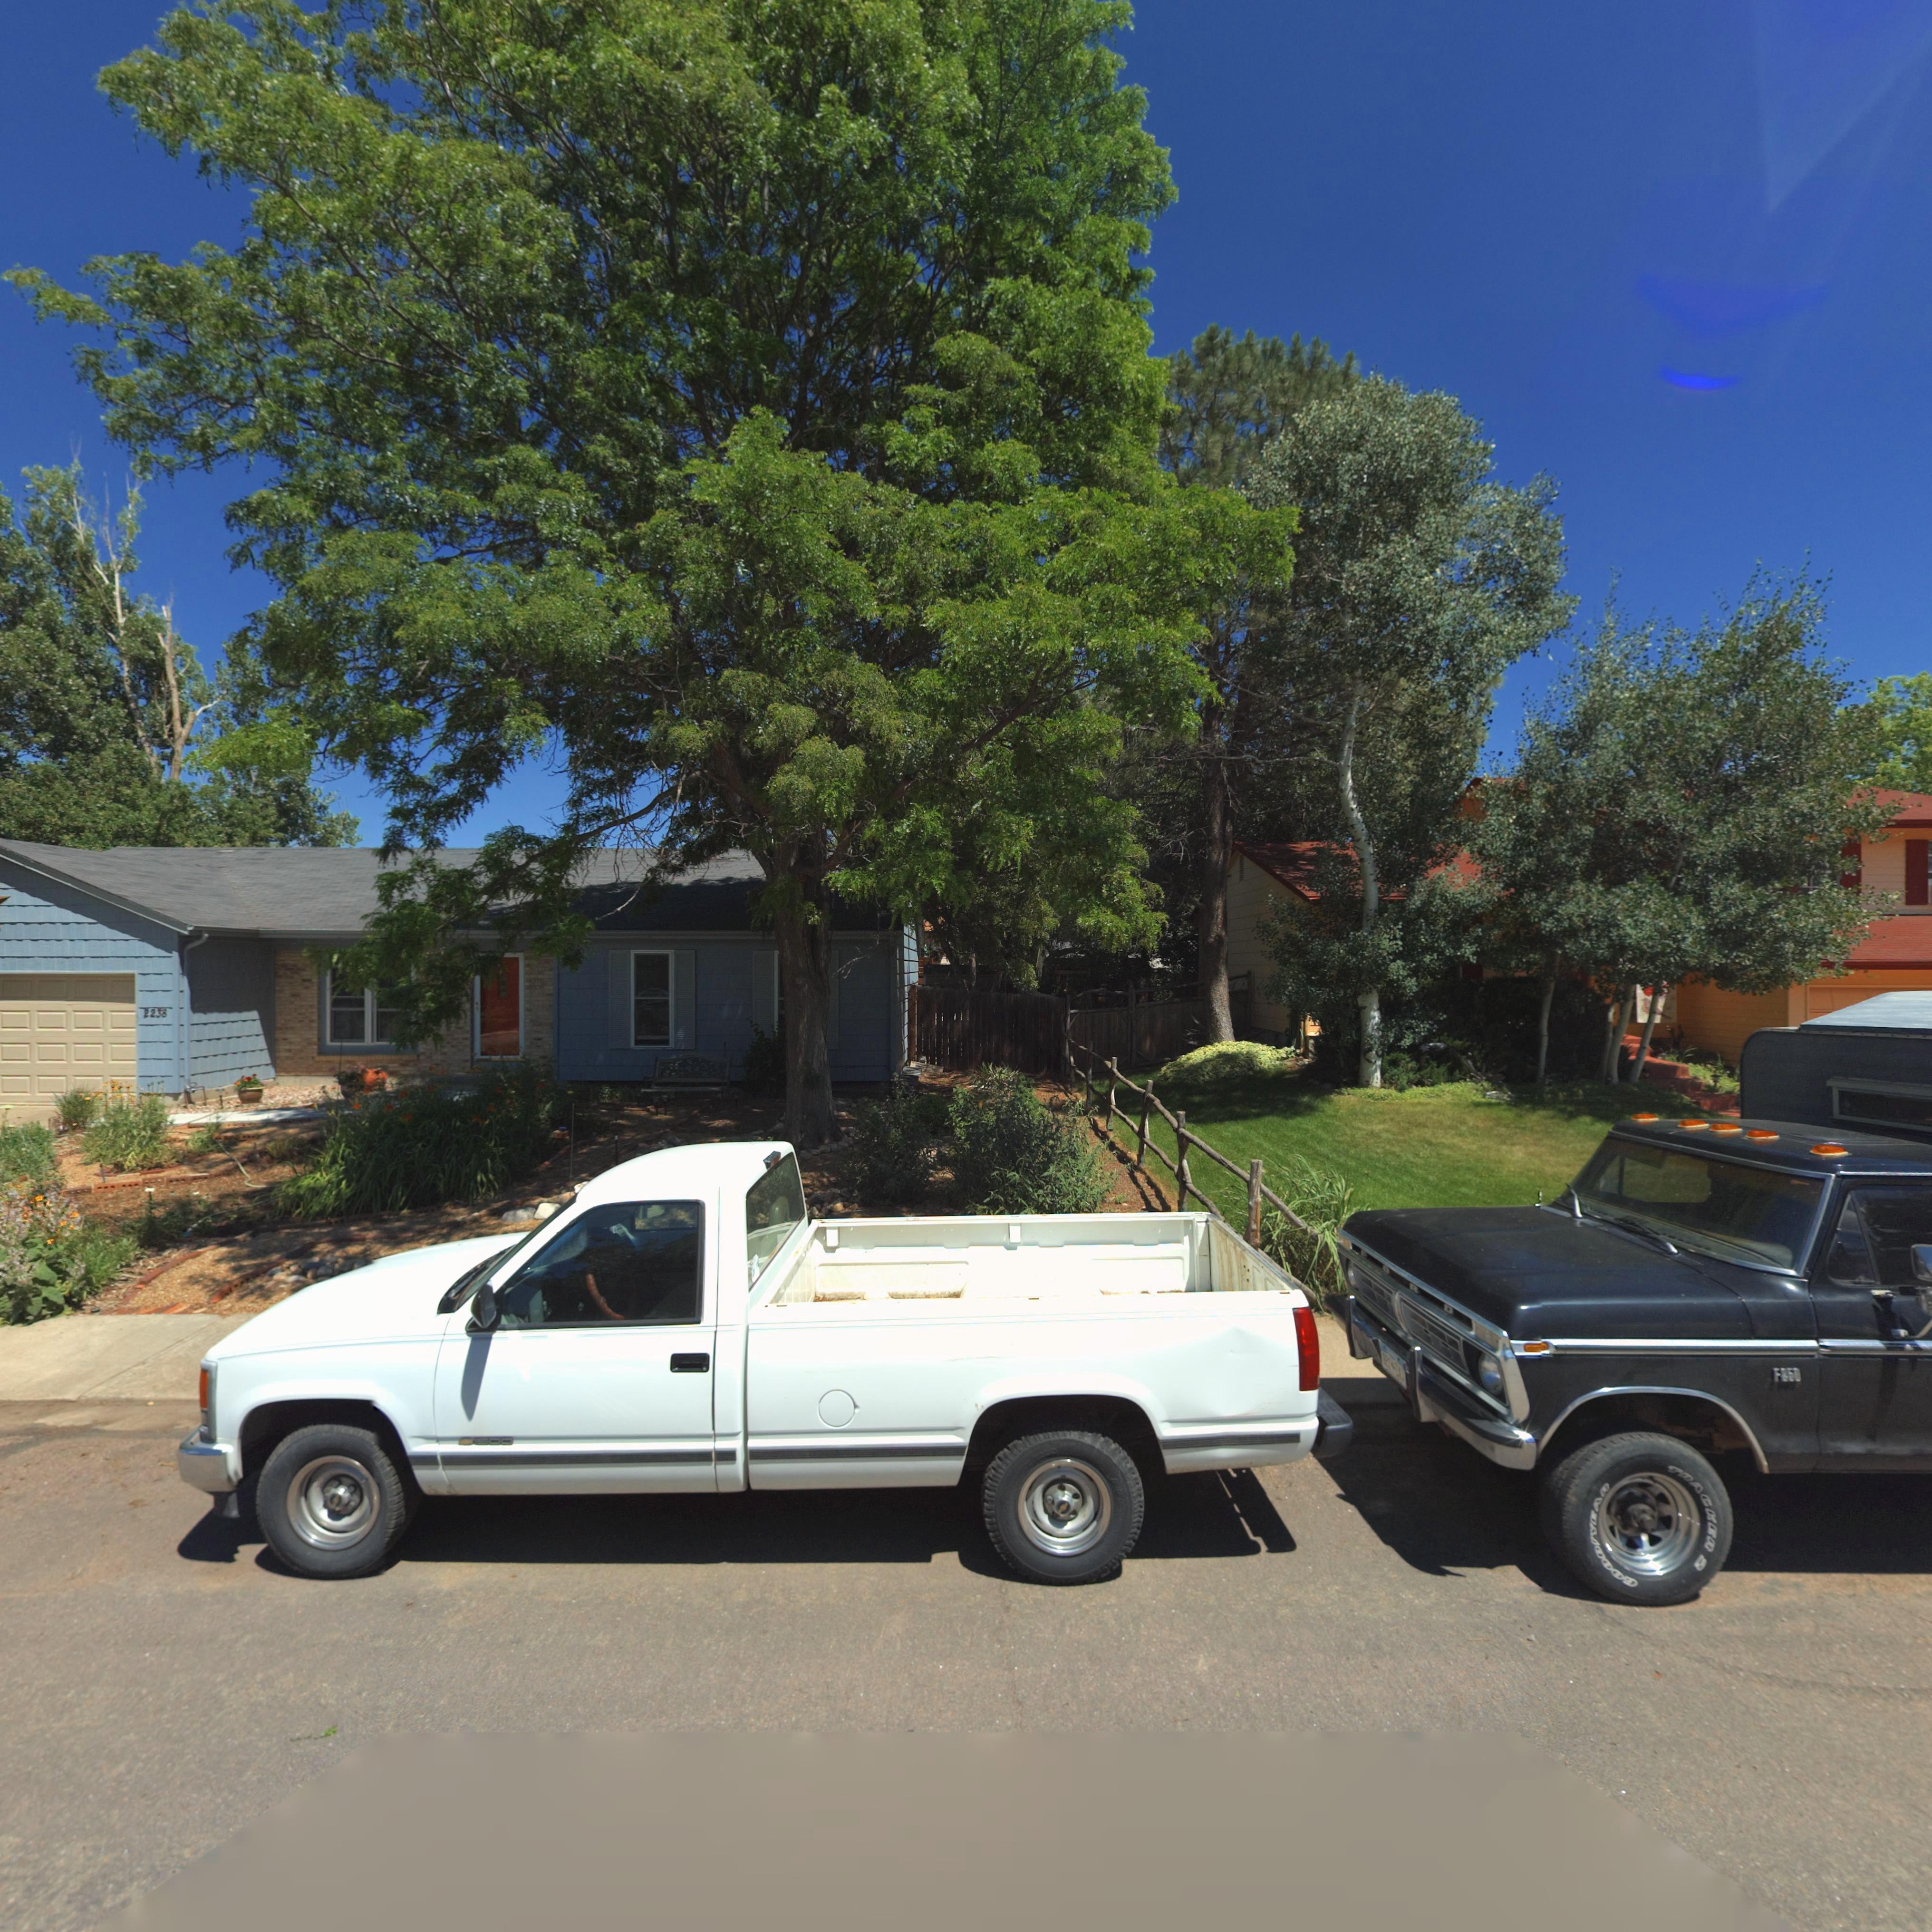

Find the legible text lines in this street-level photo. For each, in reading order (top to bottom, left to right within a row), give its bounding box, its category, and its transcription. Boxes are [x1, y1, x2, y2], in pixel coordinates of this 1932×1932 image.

[143, 1008, 167, 1018] StreetNumber: 2238